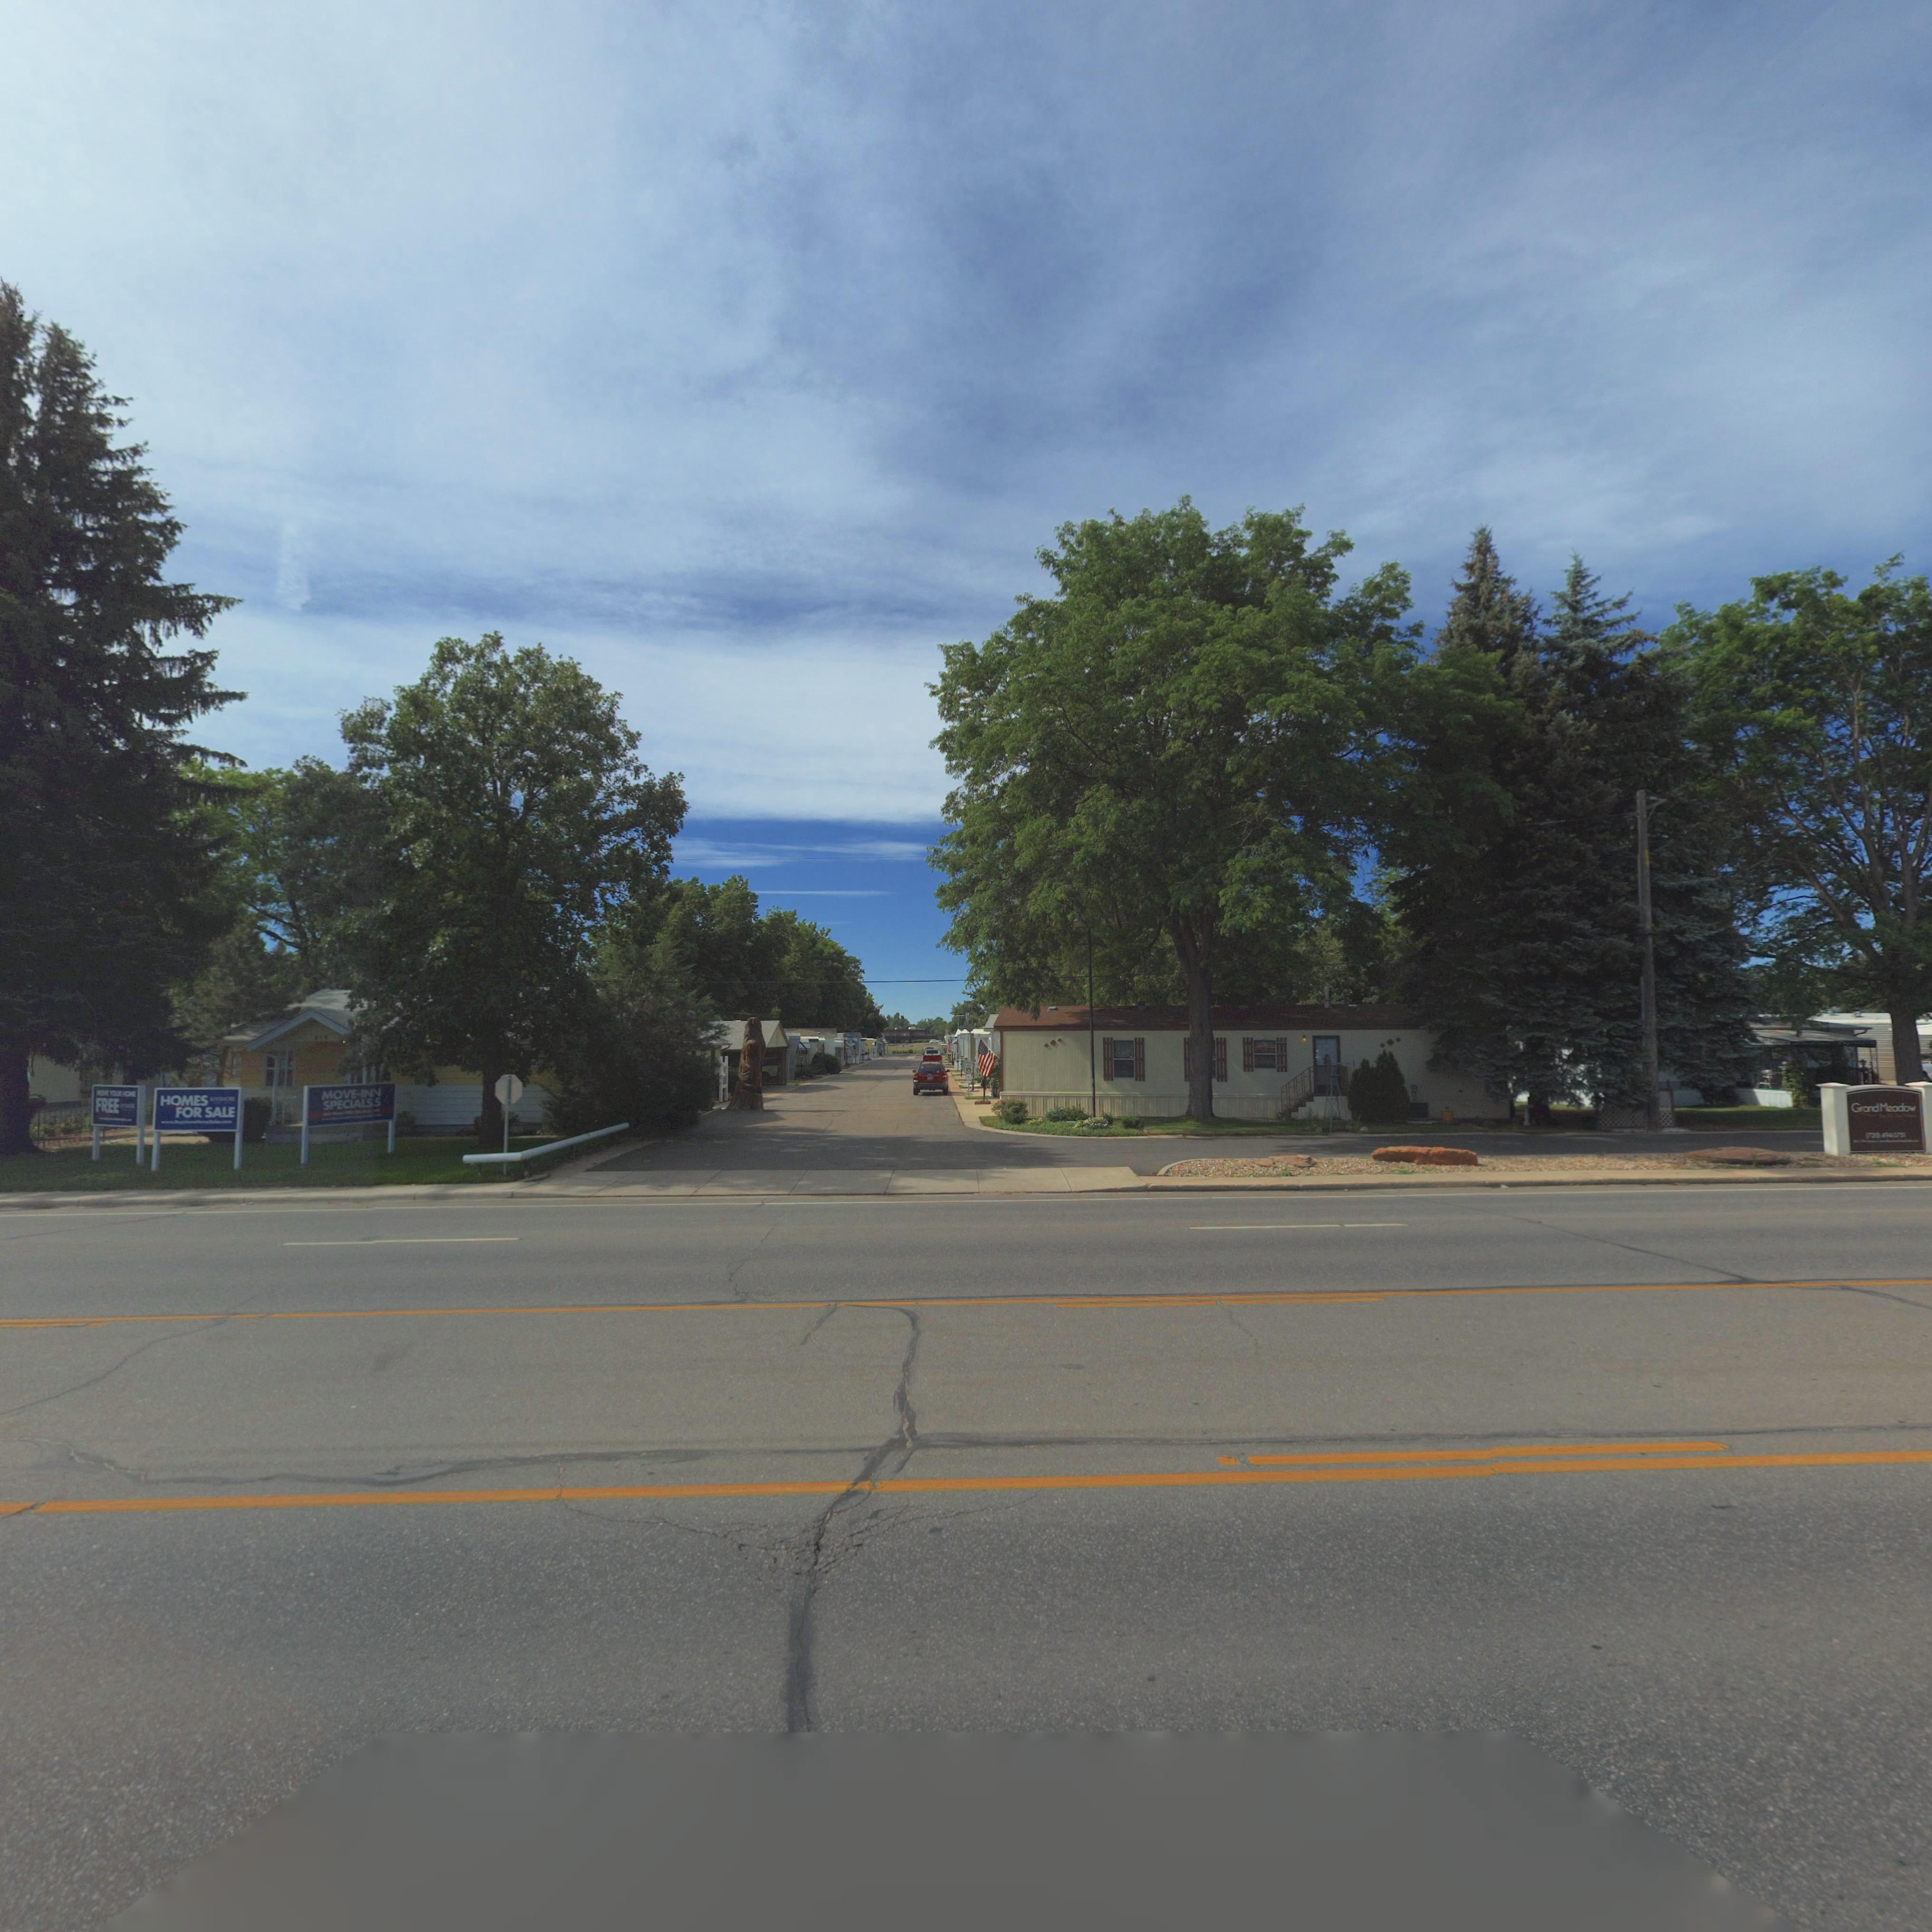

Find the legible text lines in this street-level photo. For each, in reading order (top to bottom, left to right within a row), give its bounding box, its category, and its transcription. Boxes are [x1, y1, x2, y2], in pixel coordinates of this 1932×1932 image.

[314, 1034, 328, 1040] StreetNumber: *1*